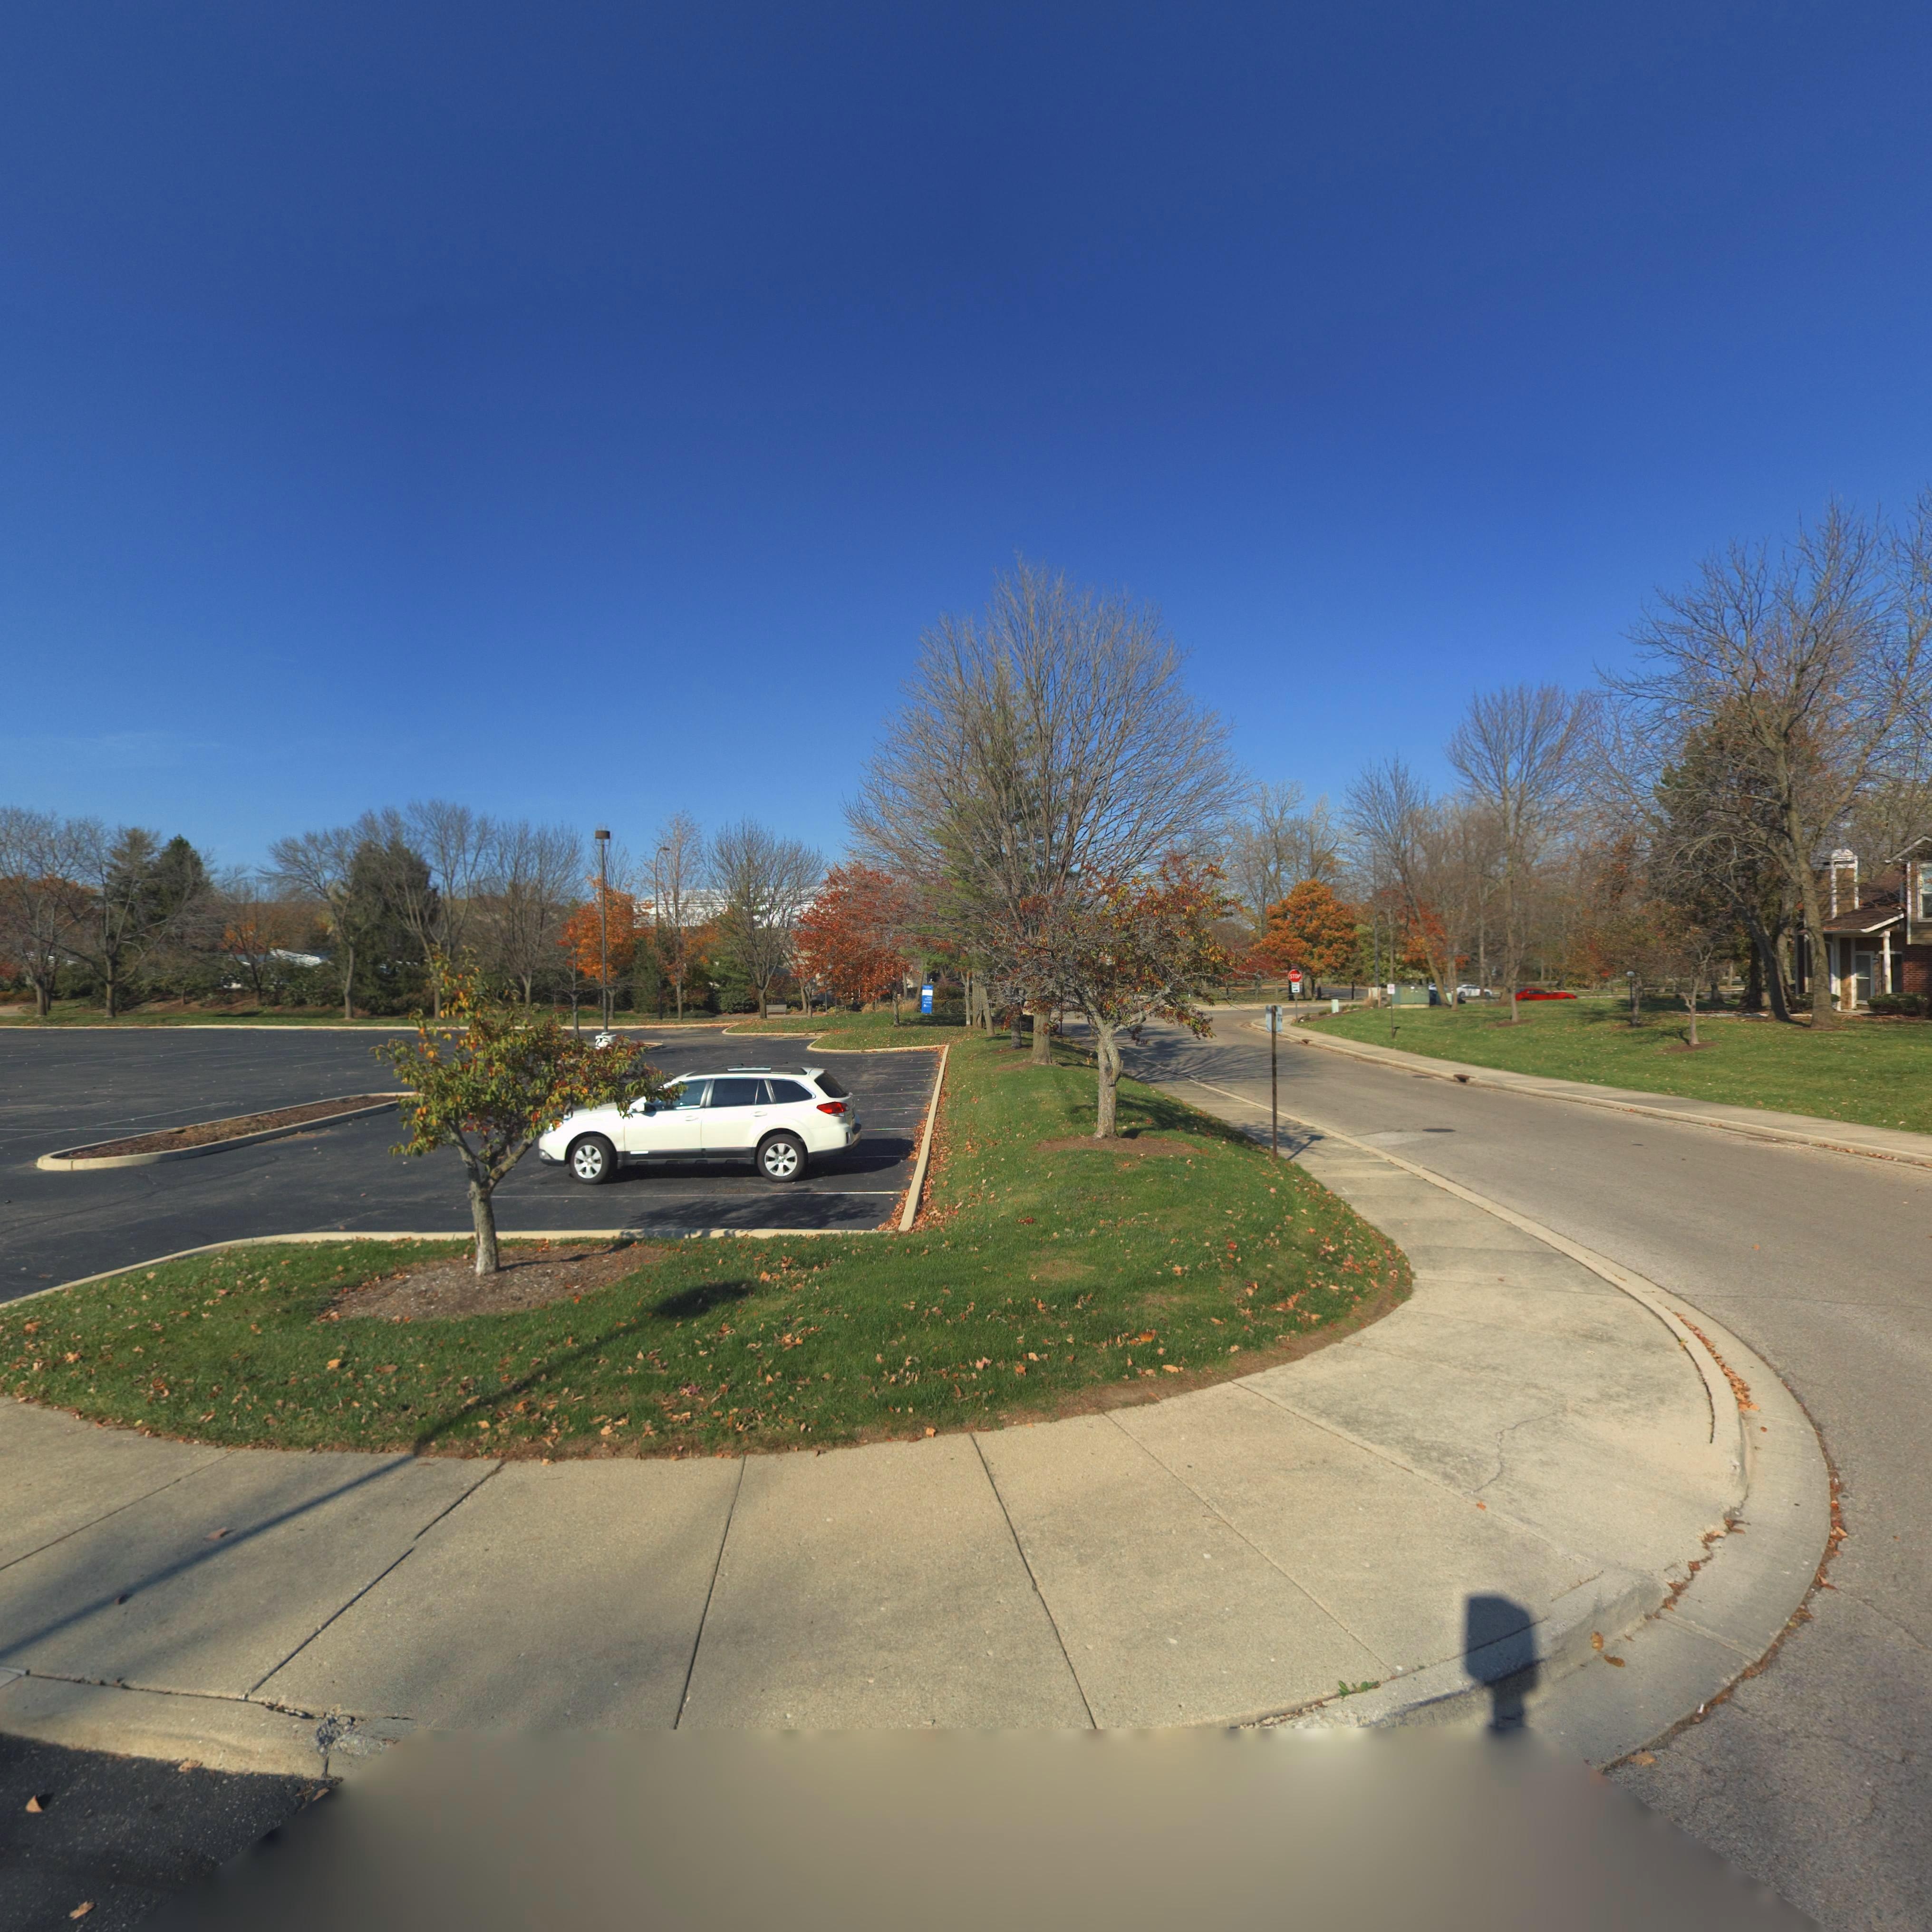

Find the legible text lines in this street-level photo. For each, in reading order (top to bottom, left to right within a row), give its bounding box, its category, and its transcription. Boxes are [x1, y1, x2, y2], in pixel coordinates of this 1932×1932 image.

[1289, 974, 1301, 979] None: STOP